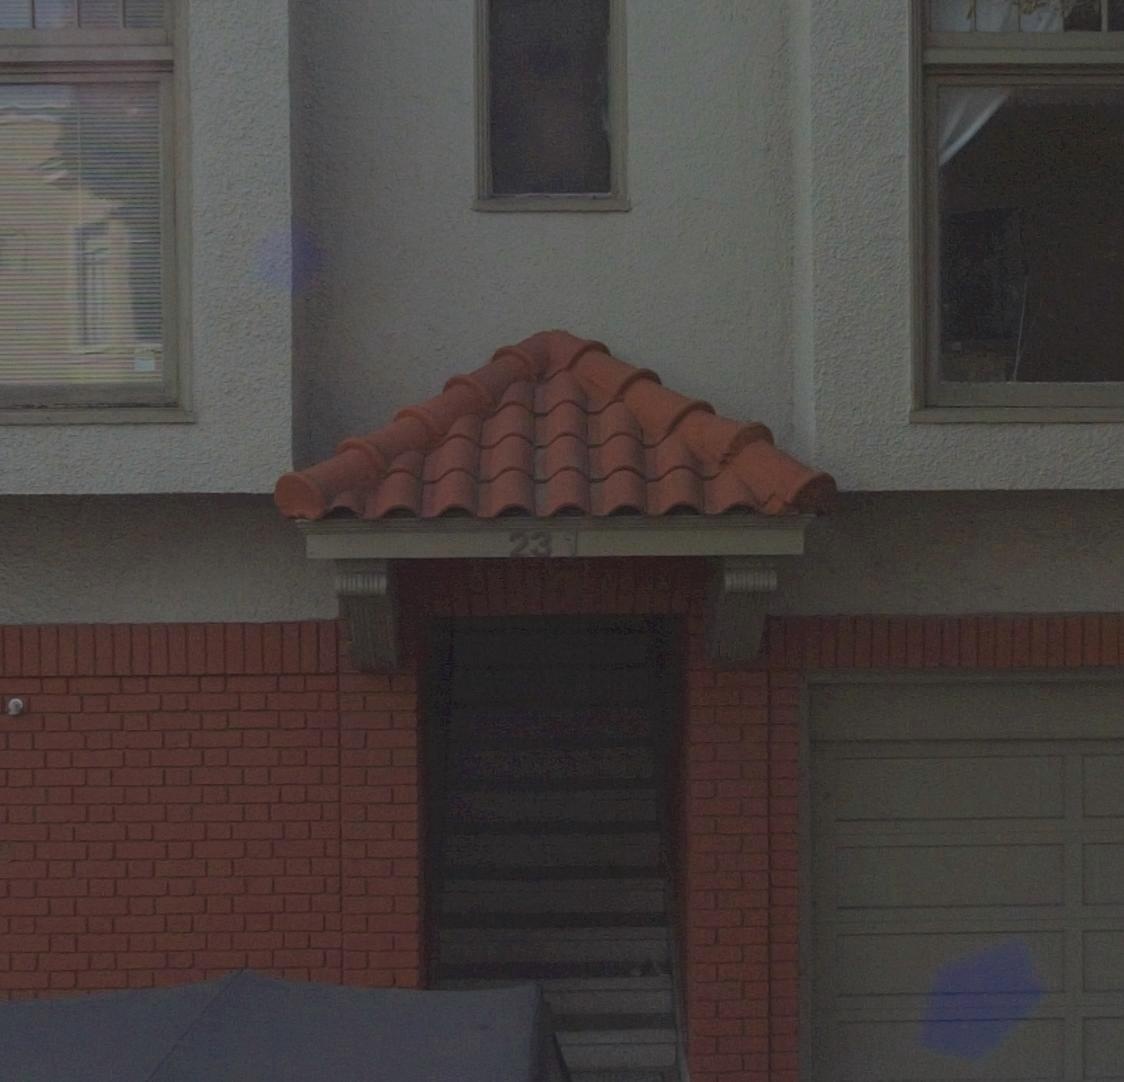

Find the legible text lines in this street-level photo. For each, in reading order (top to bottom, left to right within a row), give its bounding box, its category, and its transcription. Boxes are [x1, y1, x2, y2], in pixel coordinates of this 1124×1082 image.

[508, 528, 580, 559] StreetNumber: 231